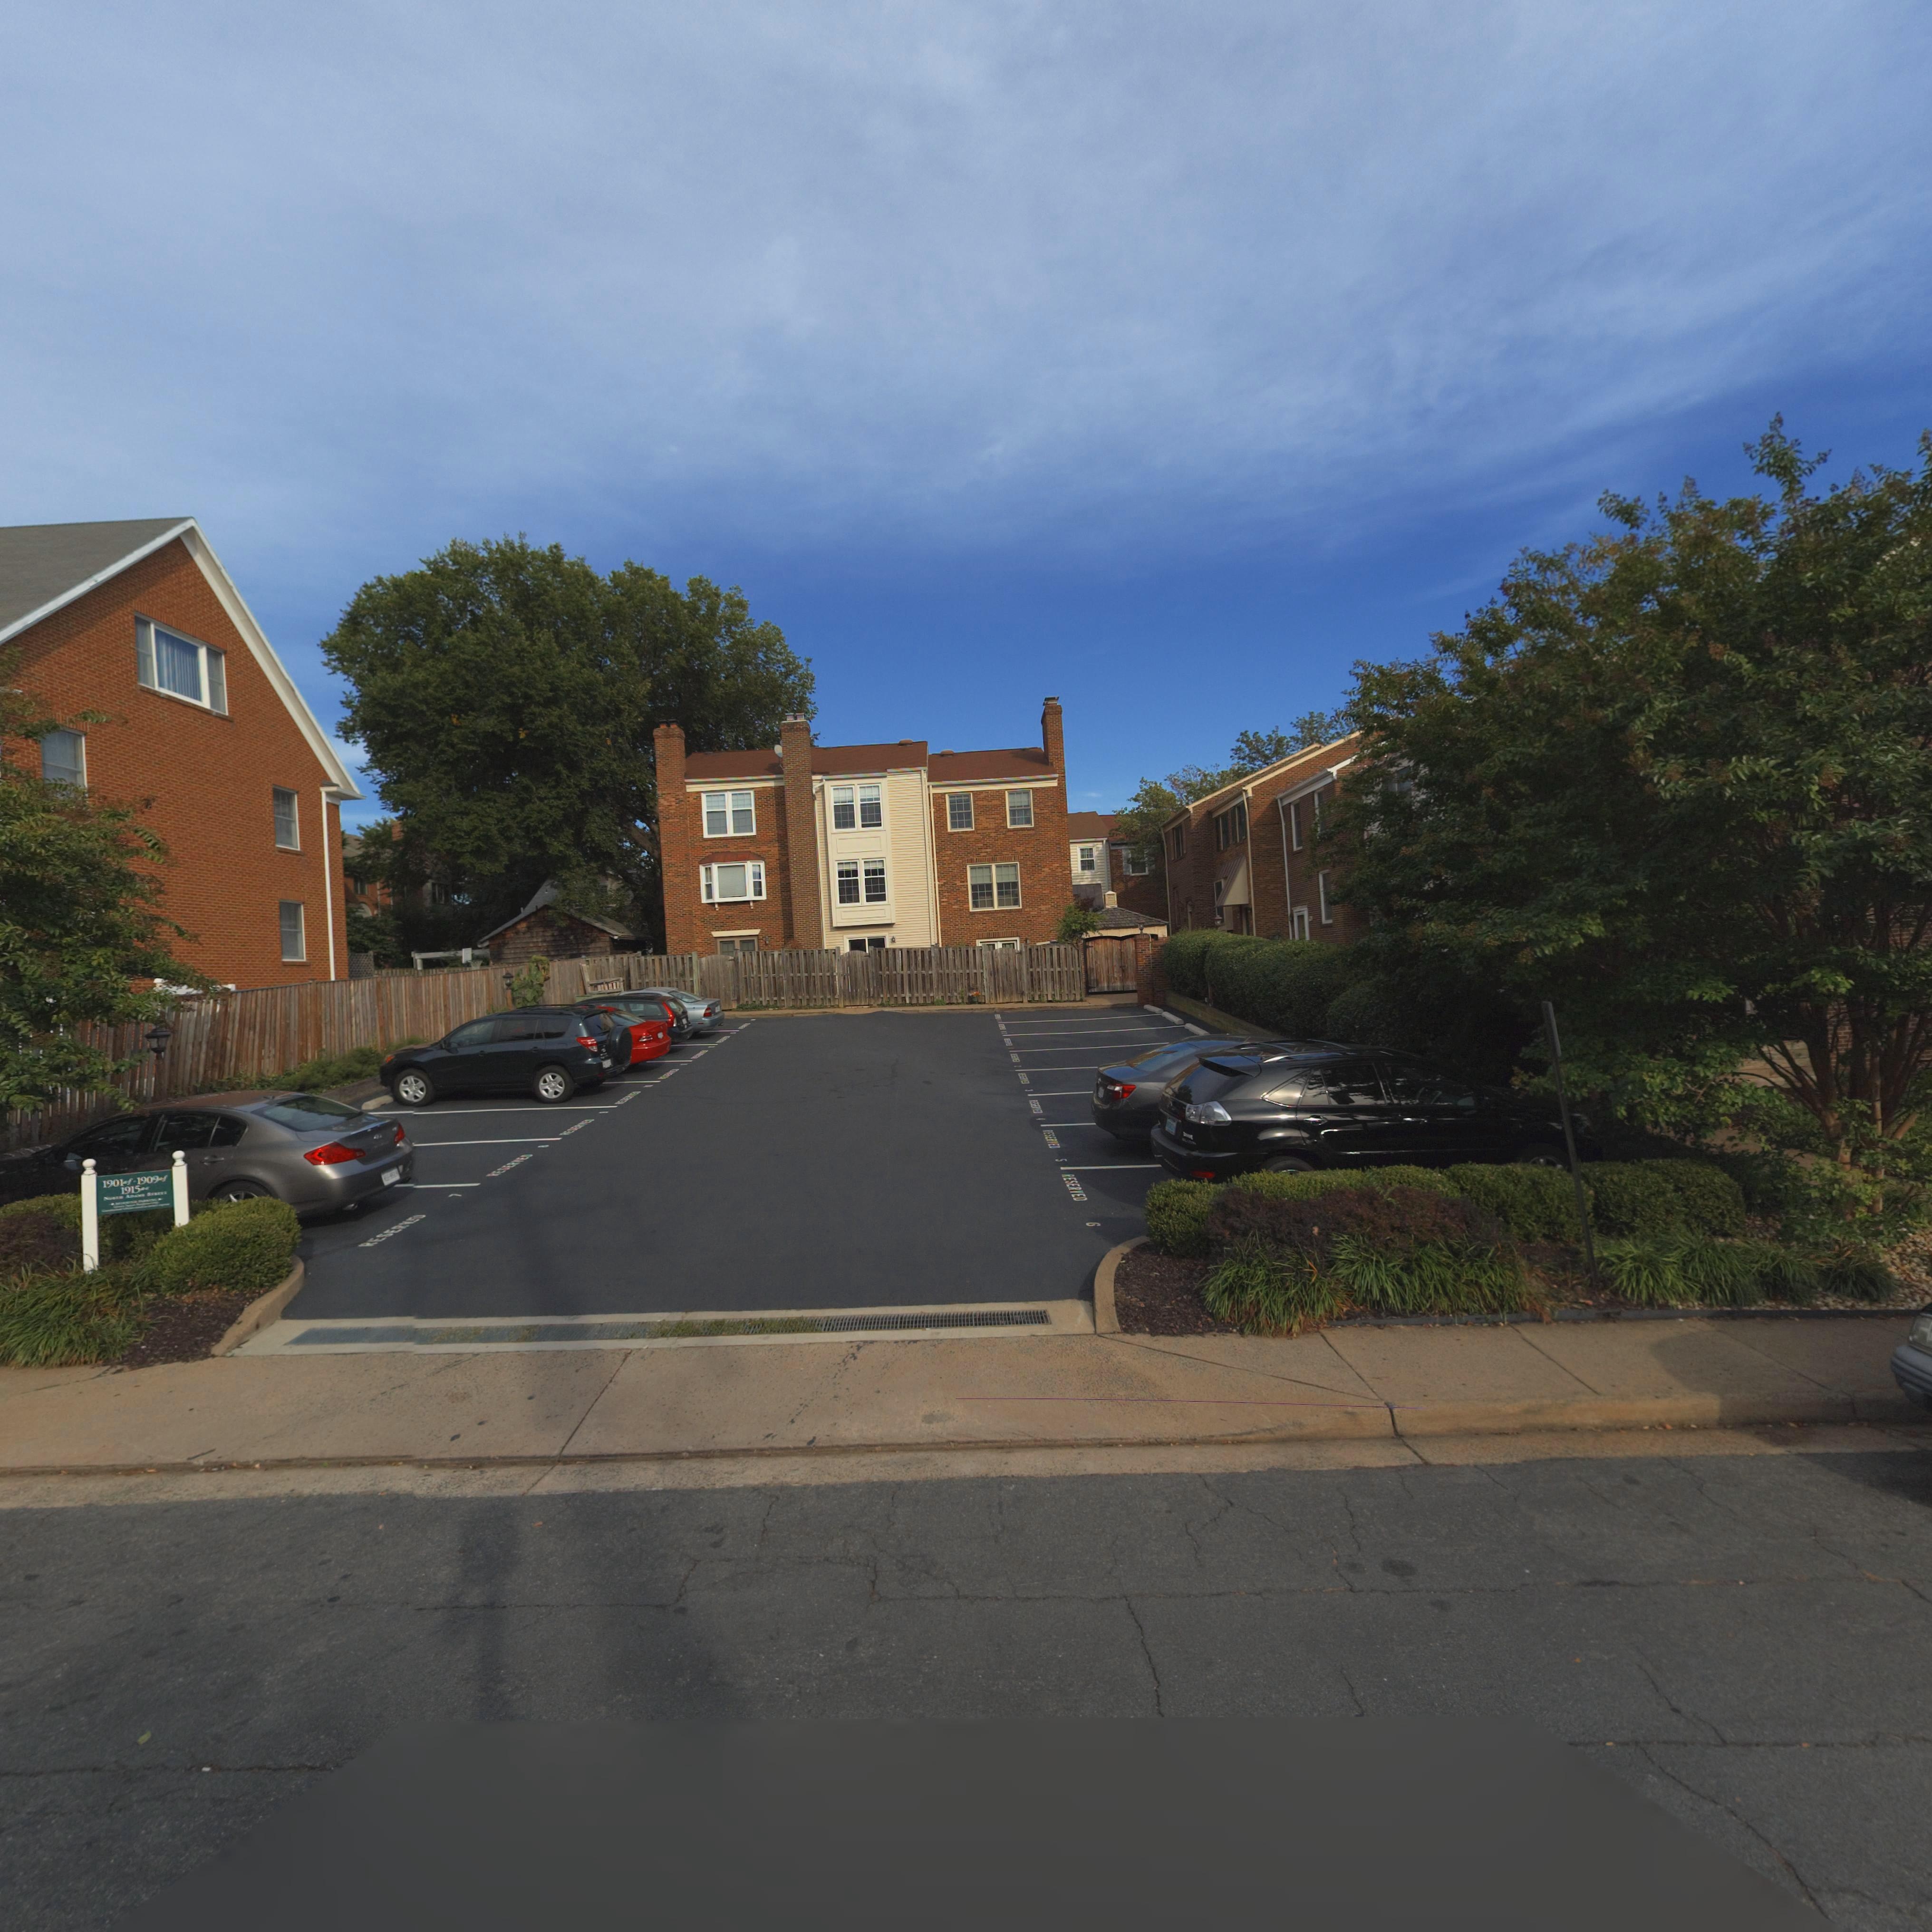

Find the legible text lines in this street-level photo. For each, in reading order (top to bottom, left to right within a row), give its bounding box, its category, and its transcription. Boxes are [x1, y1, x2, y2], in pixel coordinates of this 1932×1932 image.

[102, 1174, 169, 1188] None: 1901*-1909-
[120, 1185, 142, 1195] None: 1915